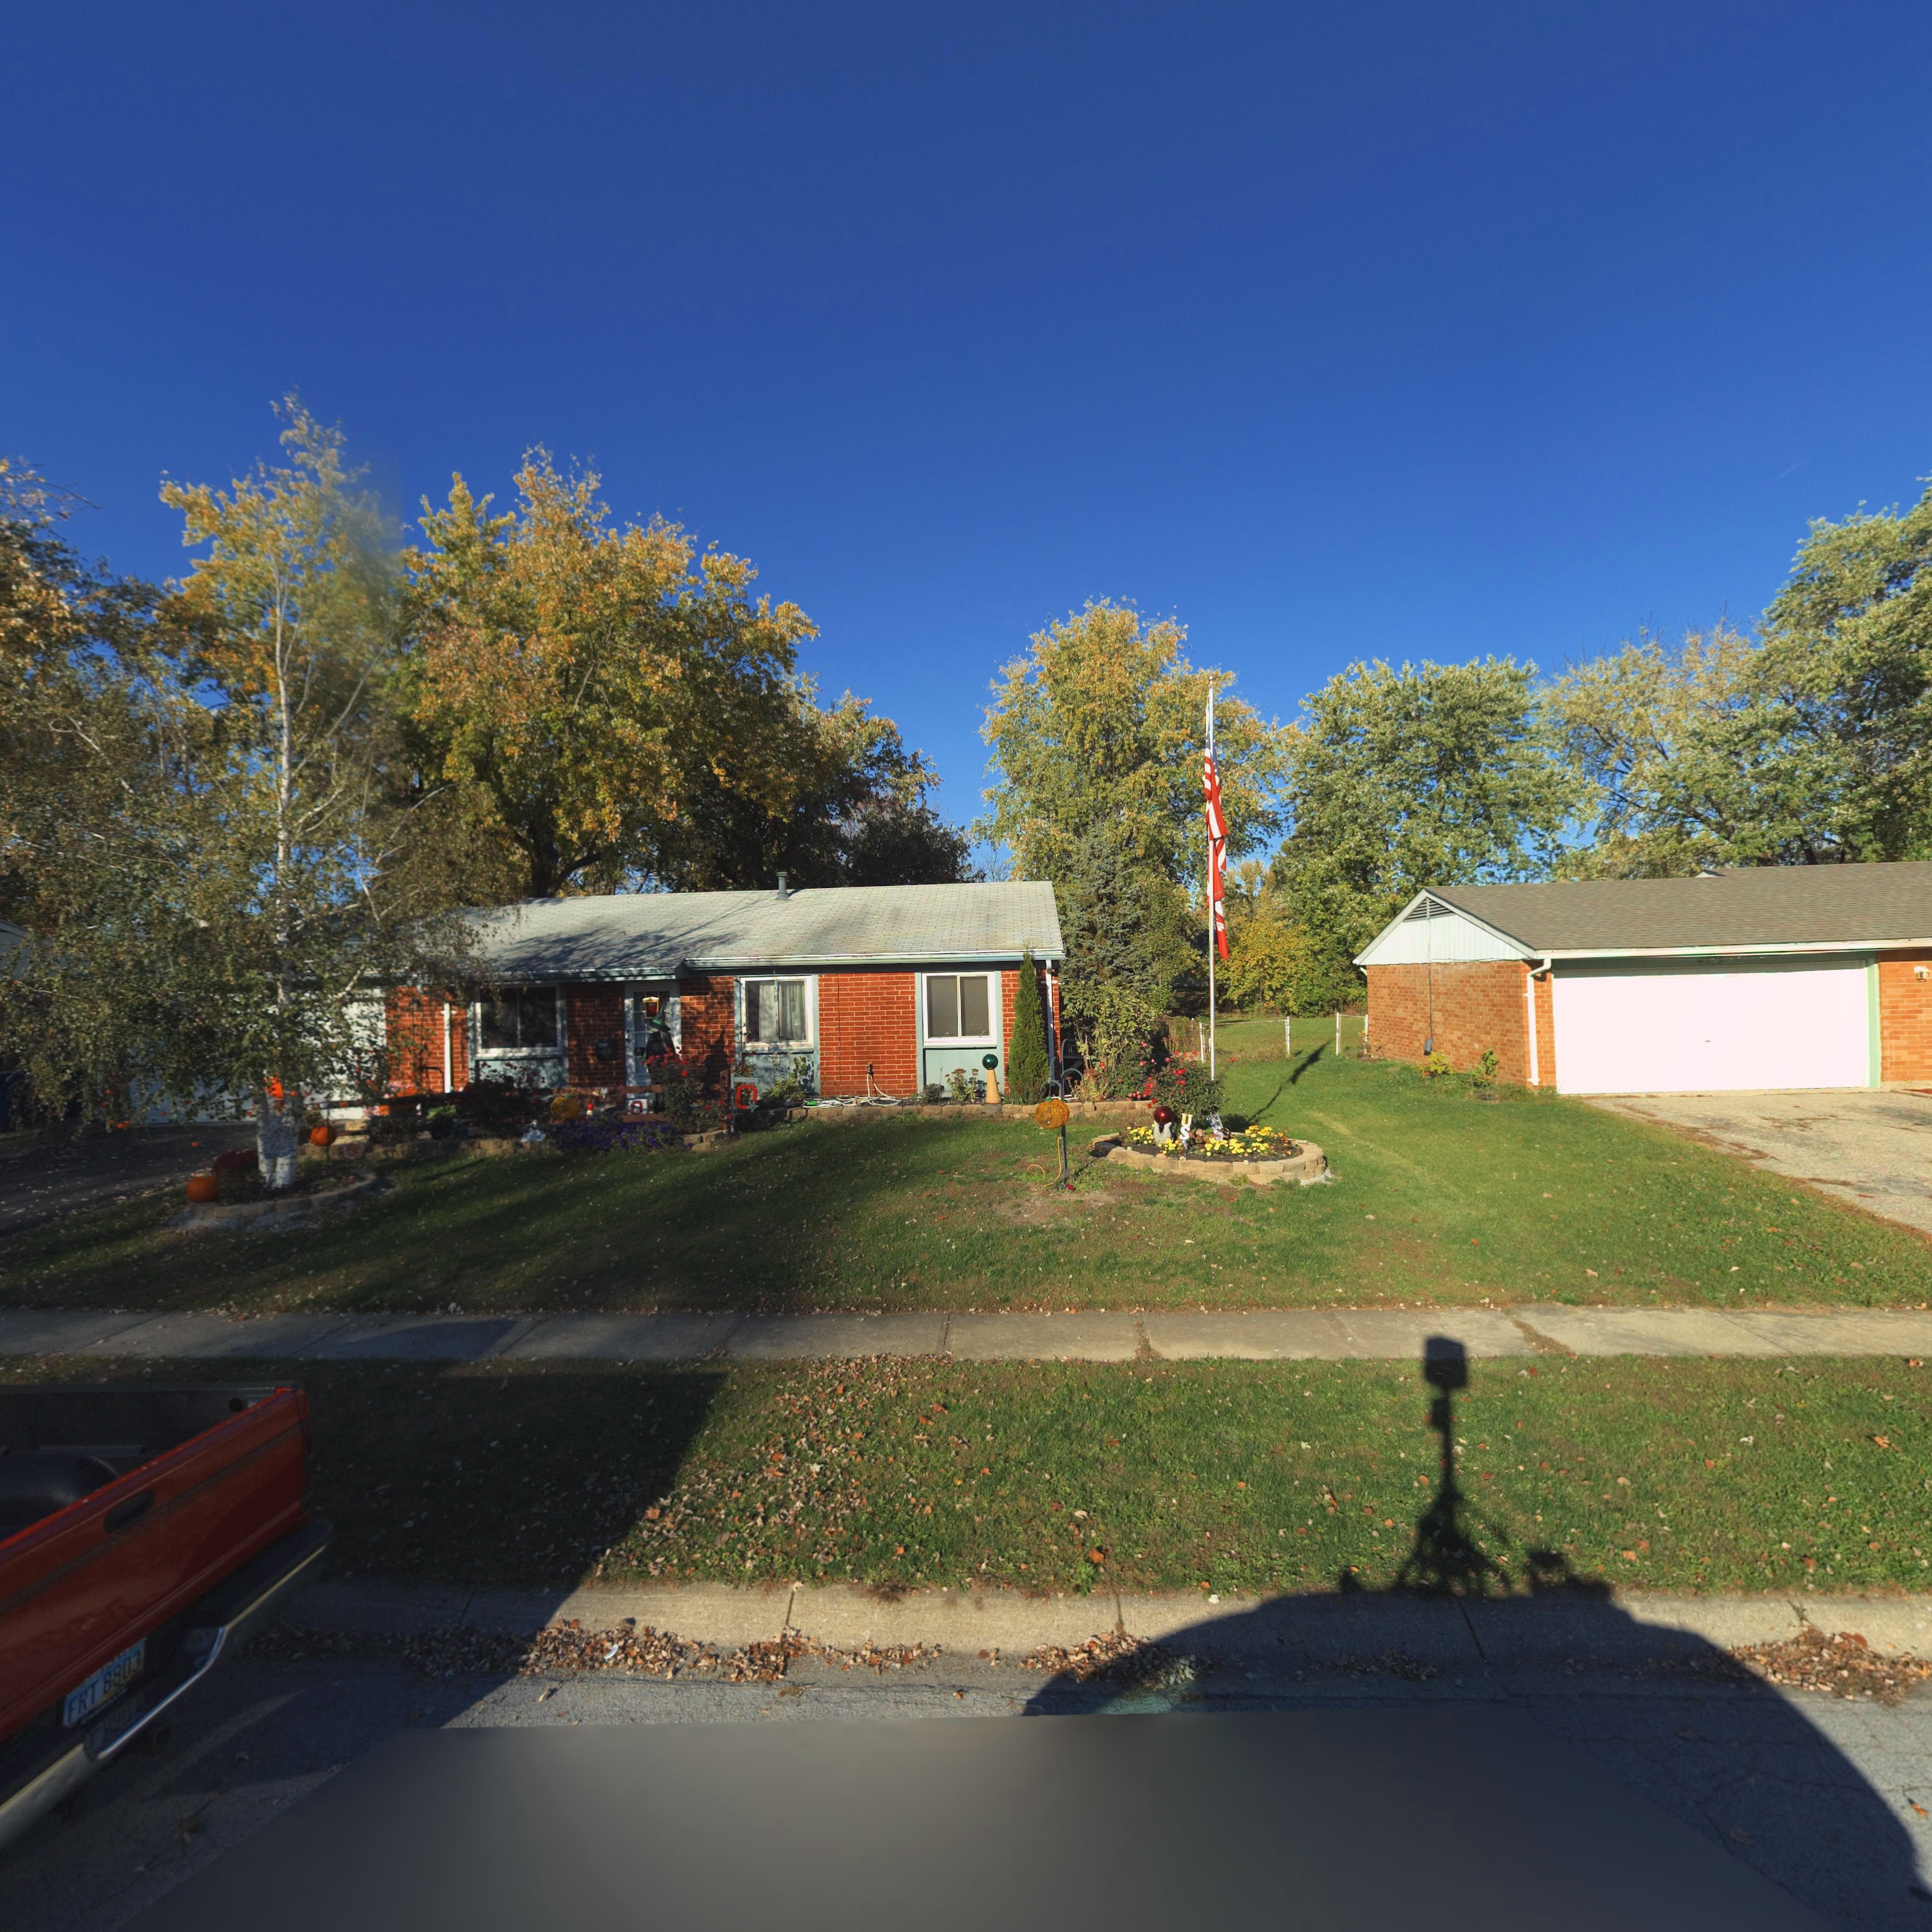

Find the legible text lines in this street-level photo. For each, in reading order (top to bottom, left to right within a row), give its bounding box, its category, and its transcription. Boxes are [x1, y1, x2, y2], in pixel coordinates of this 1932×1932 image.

[1698, 956, 1724, 966] StreetNumber: 4525